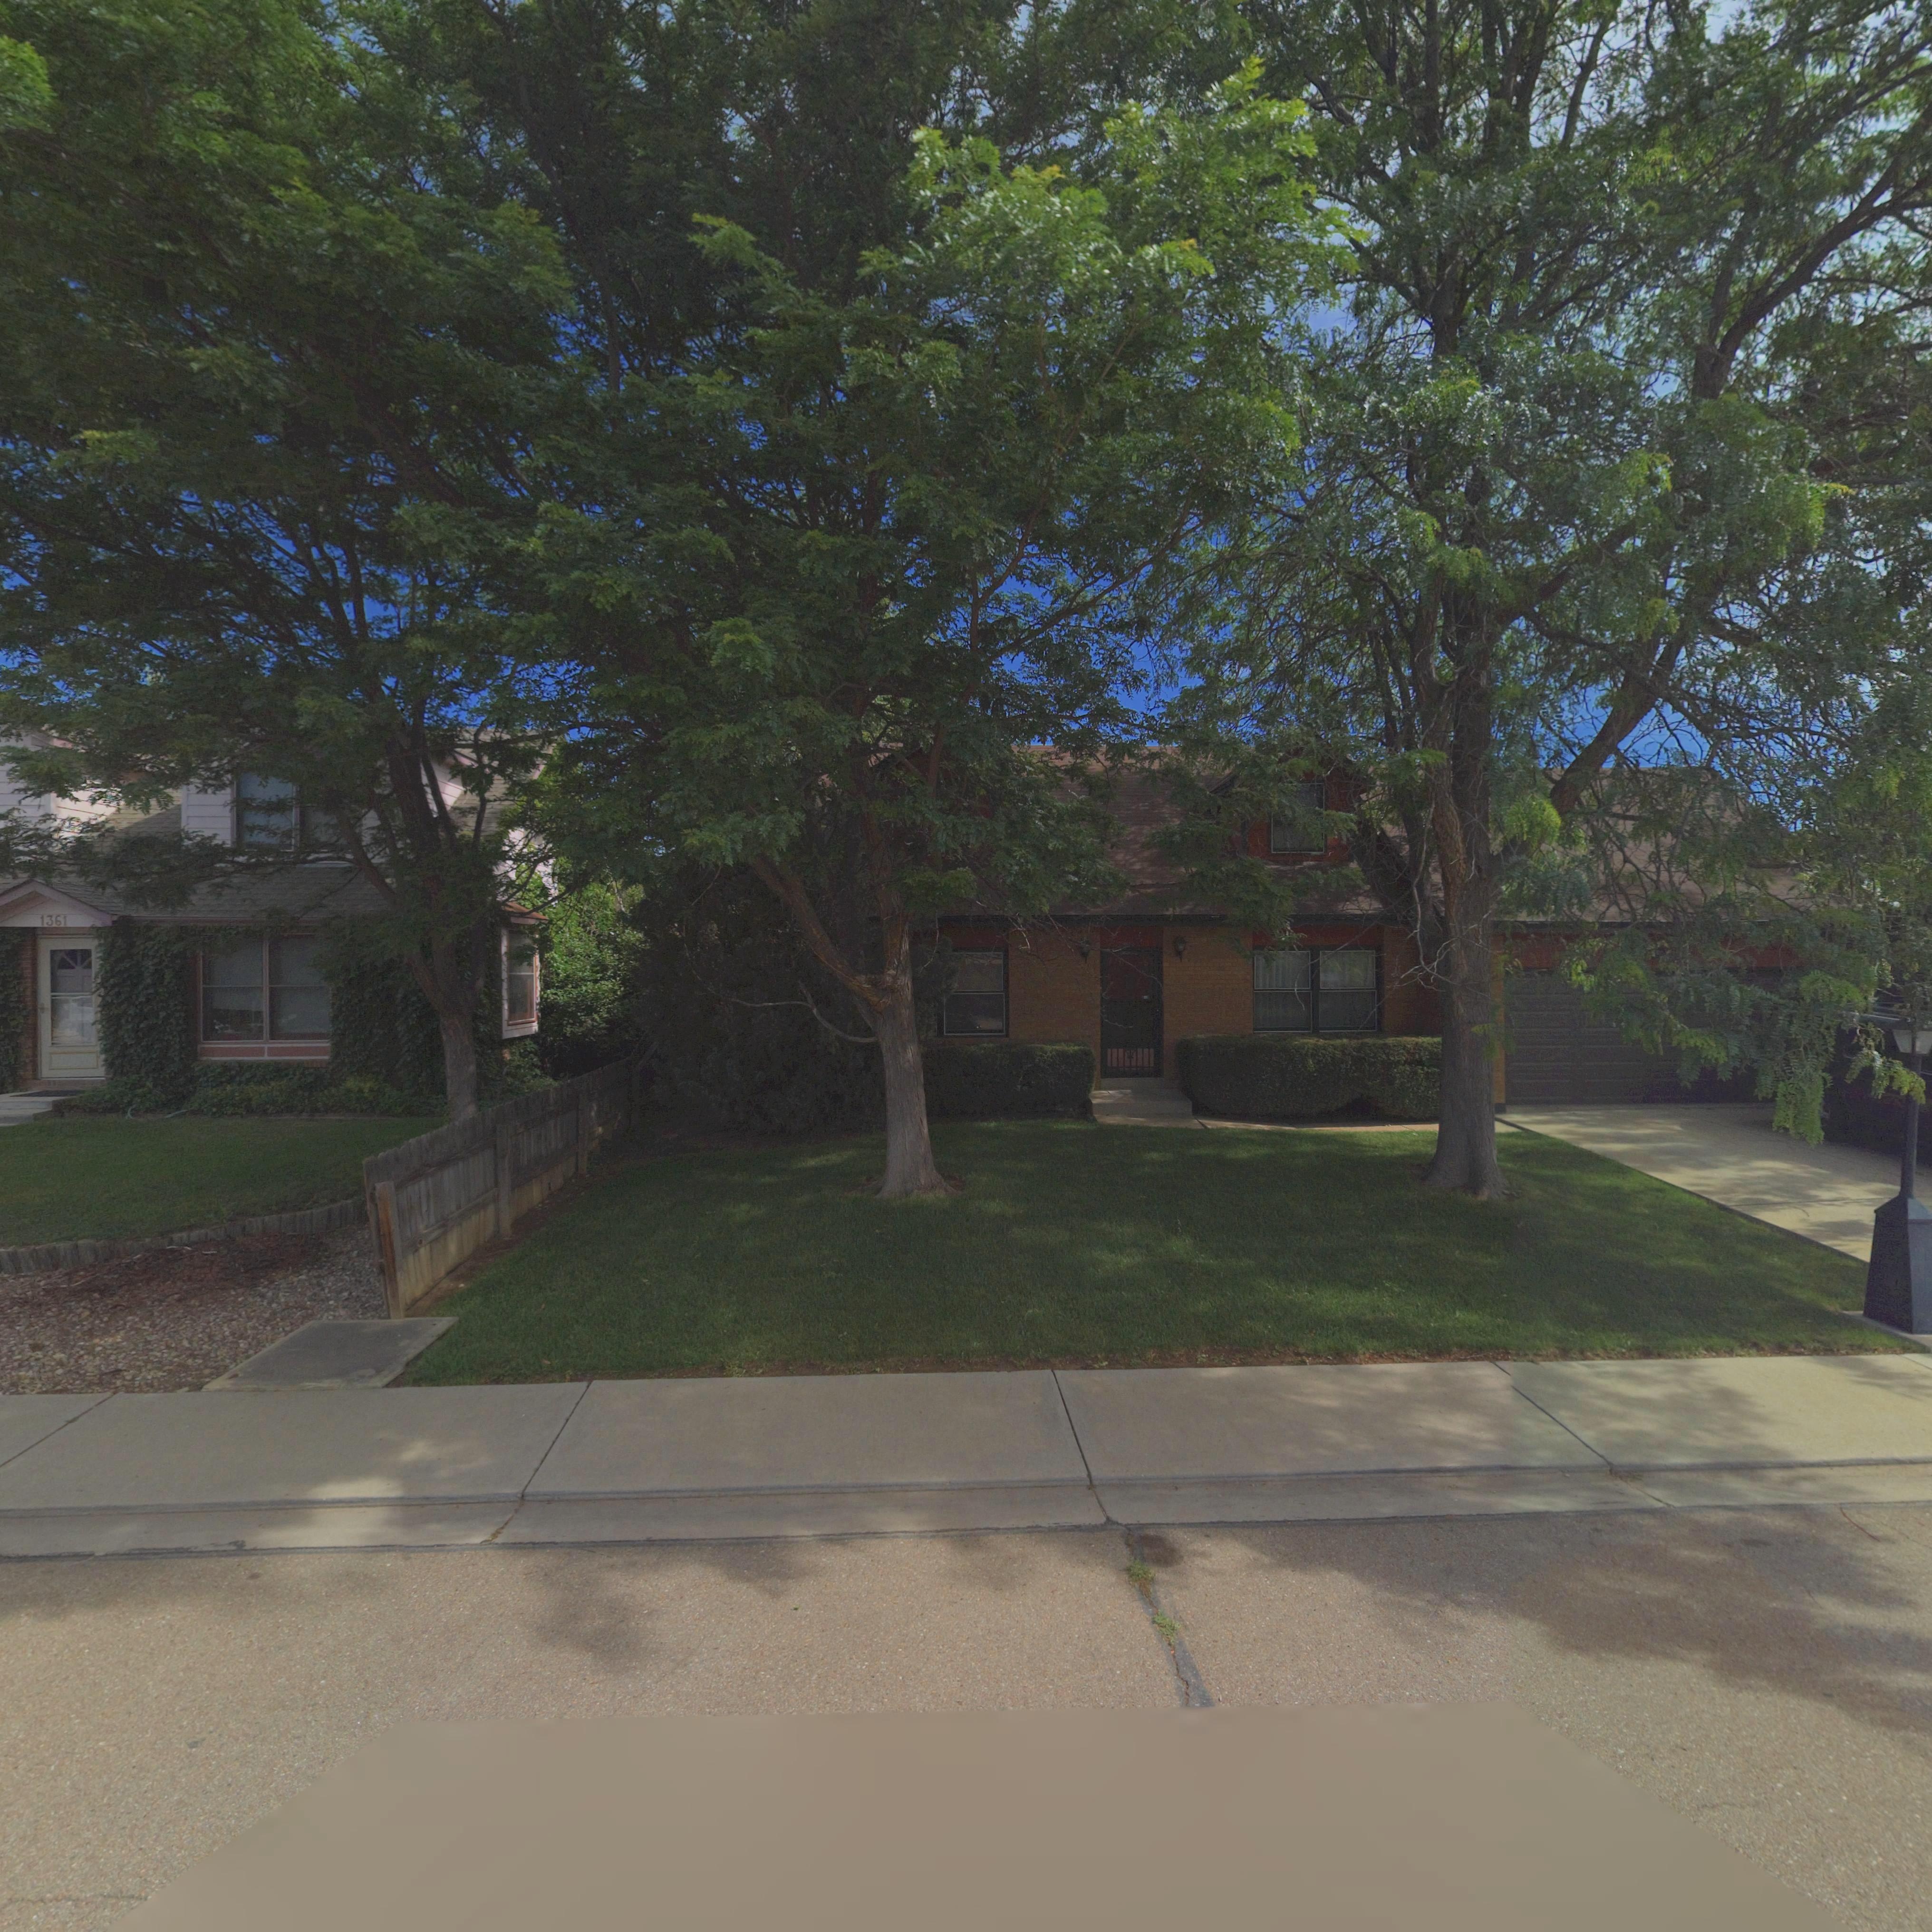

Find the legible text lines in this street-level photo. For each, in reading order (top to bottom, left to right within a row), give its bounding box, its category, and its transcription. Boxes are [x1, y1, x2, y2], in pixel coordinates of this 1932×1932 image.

[39, 914, 68, 927] StreetNumber: 1361